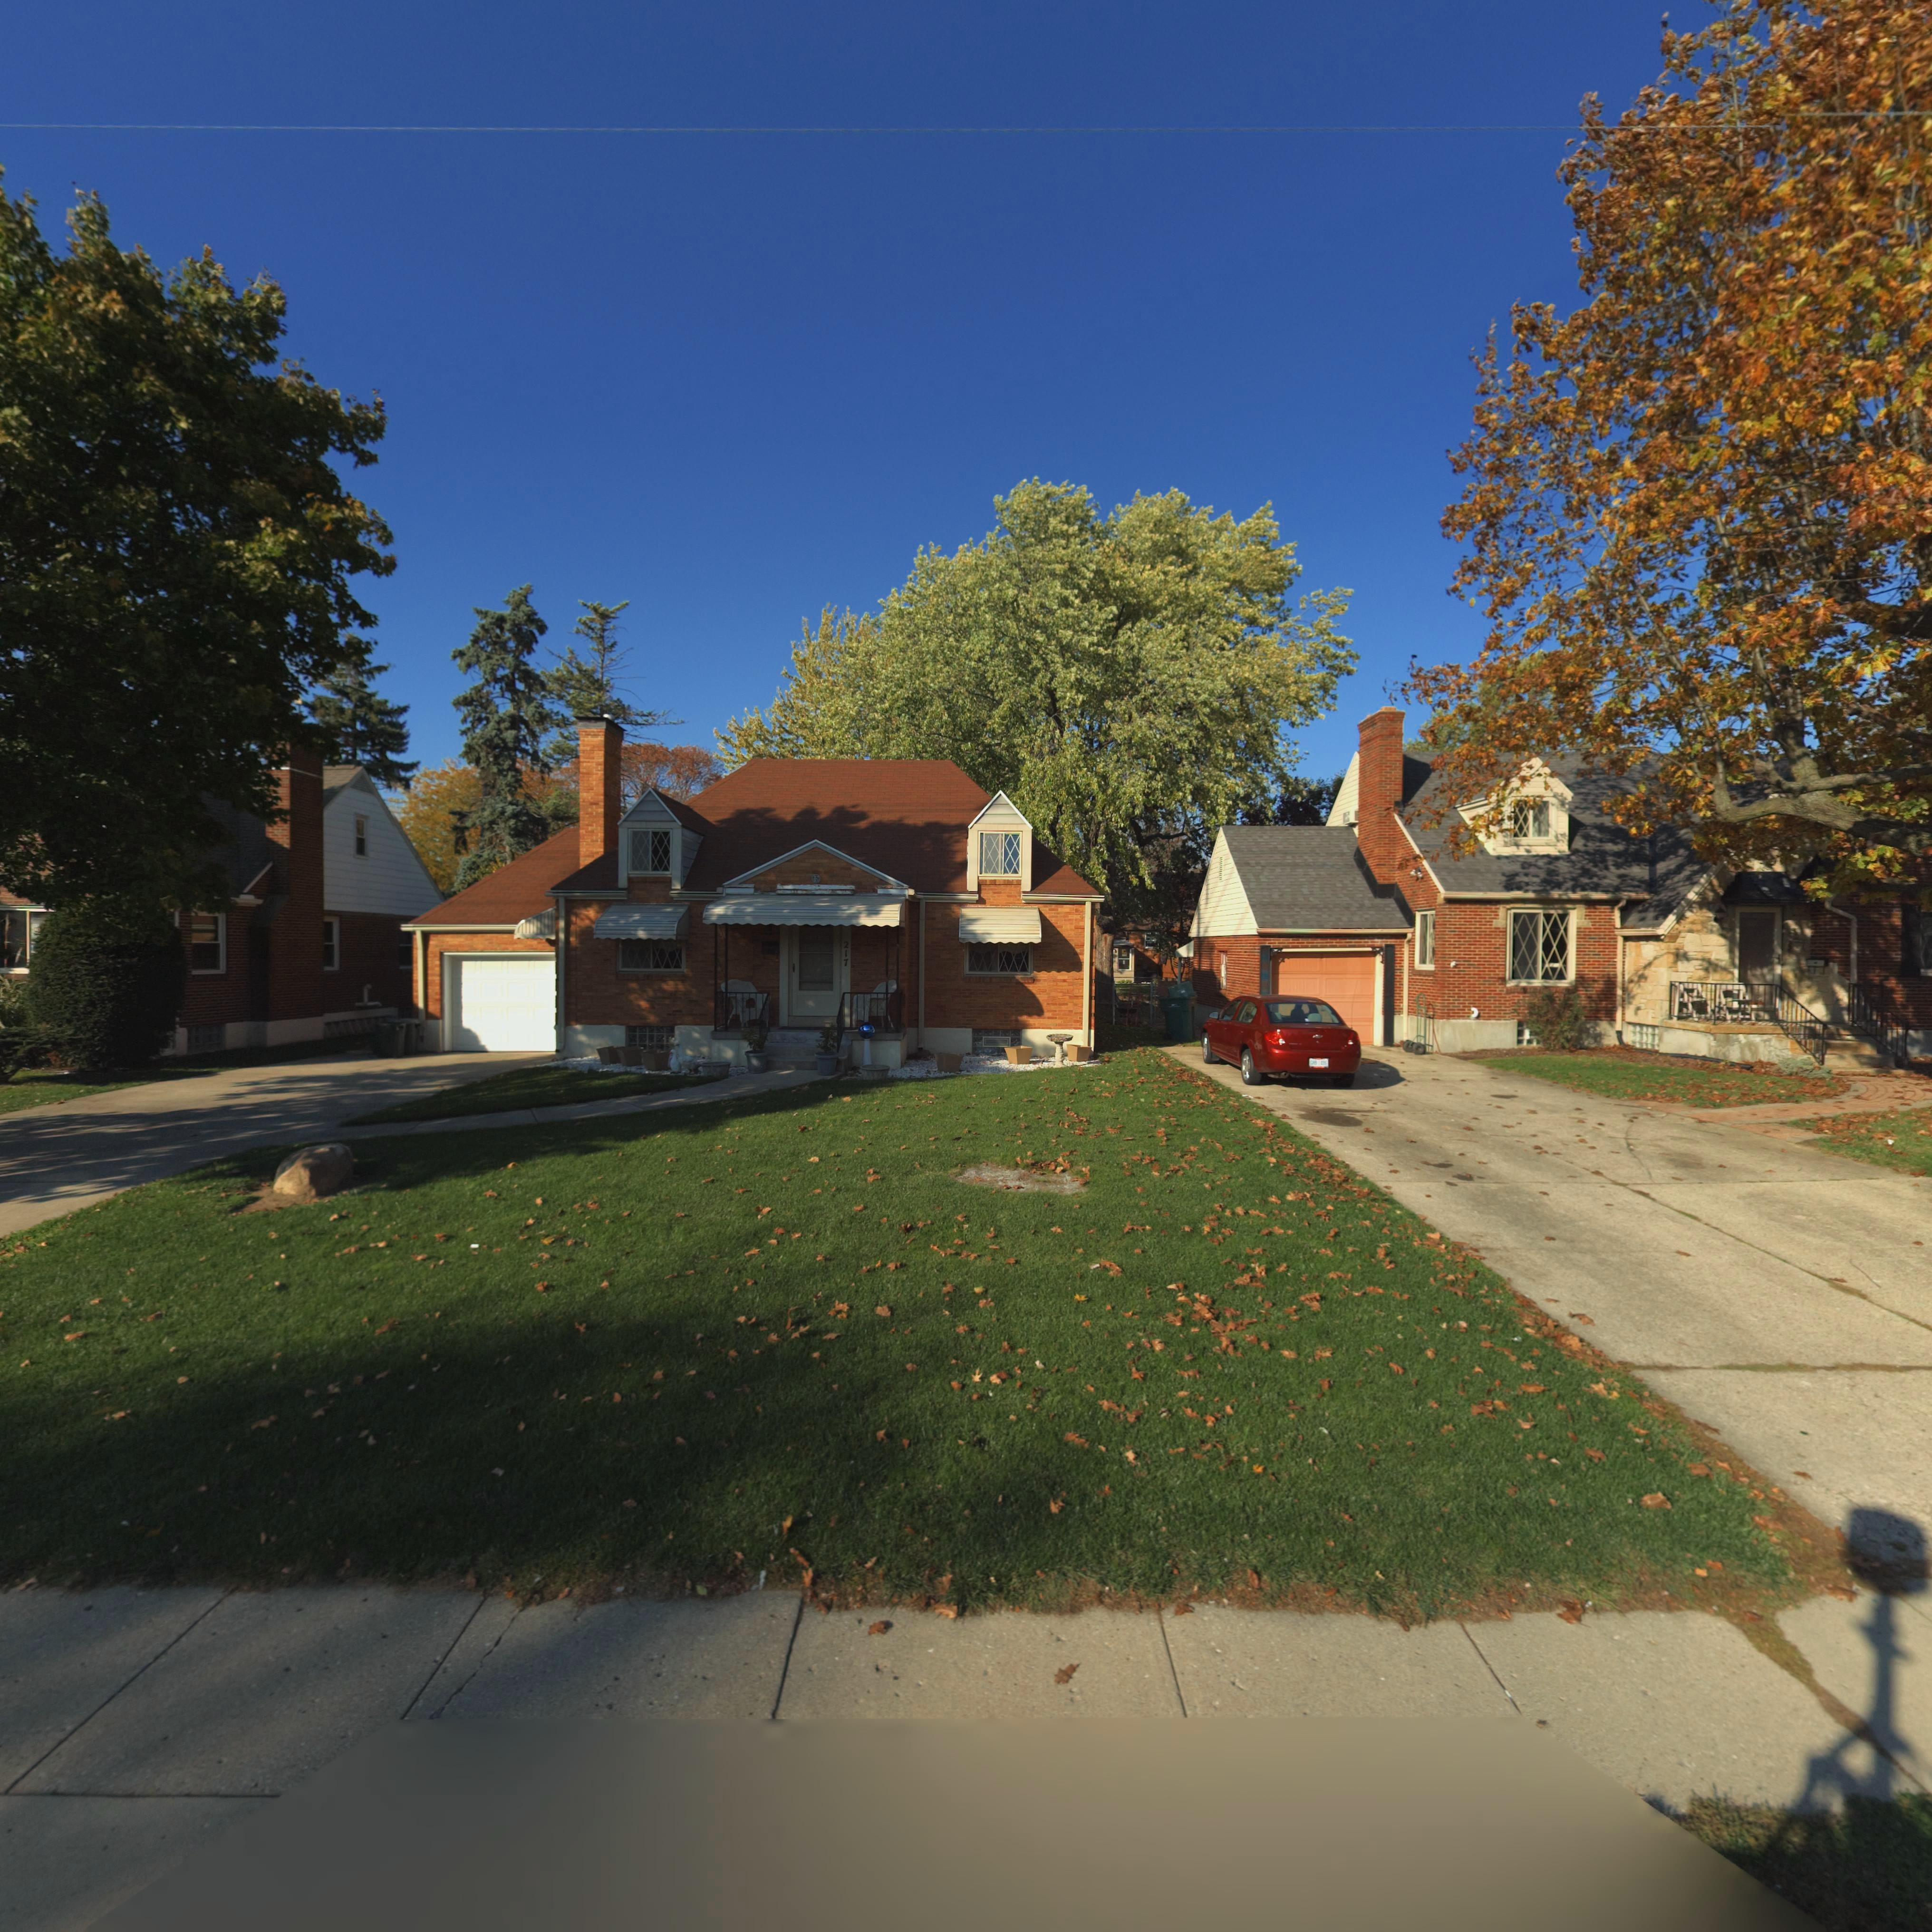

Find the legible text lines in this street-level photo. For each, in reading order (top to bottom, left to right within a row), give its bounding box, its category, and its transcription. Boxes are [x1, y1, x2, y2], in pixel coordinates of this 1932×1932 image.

[842, 939, 850, 967] StreetNumber: 217